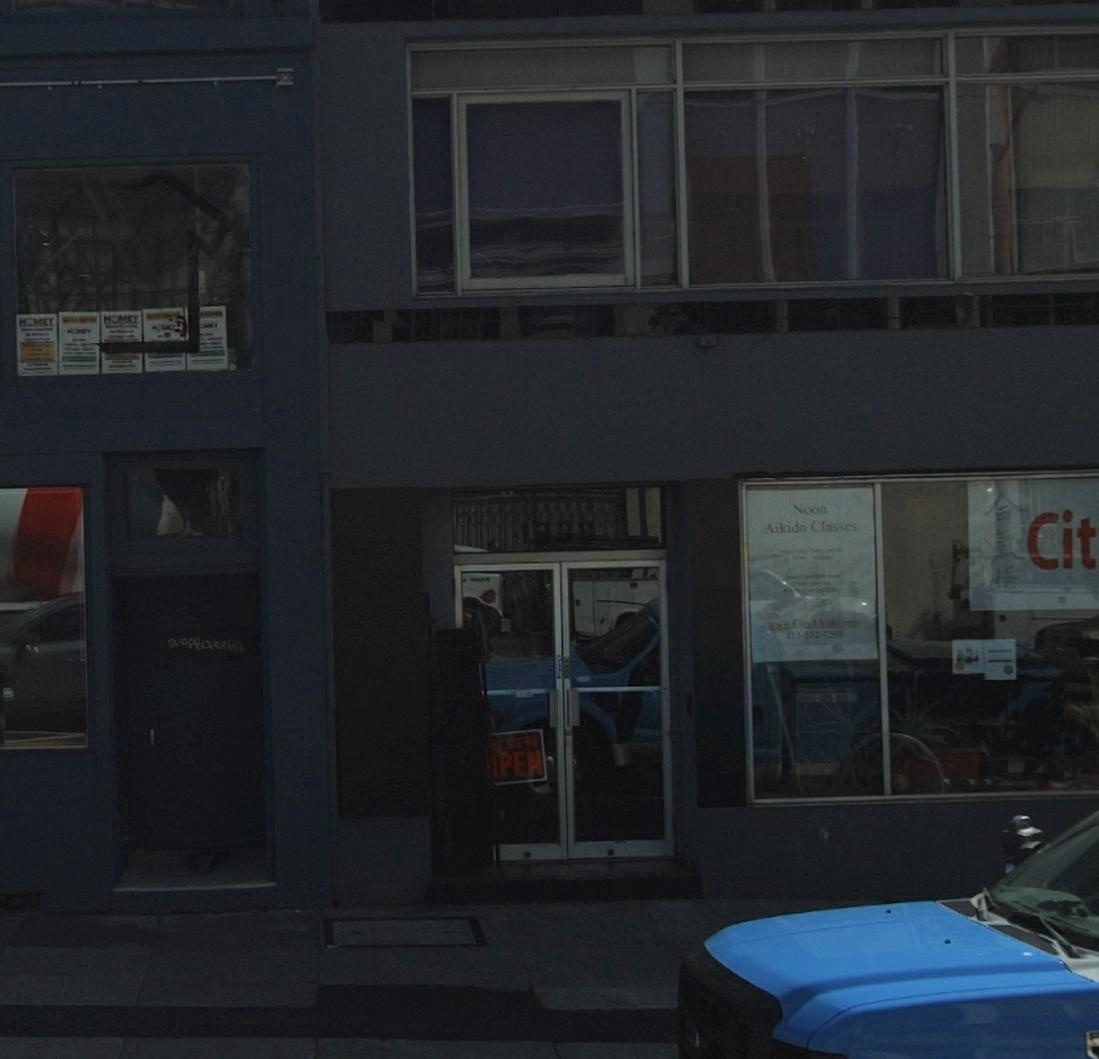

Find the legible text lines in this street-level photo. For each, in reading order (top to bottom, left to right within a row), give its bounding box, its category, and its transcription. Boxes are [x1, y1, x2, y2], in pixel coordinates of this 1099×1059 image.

[17, 316, 56, 328] None: H*MET
[101, 313, 141, 325] None: H*MET
[791, 501, 830, 518] None: Noon
[516, 518, 599, 549] StreetNumber: 1339
[761, 519, 860, 536] None: Aikido Classes
[1021, 504, 1099, 577] BusinessName: Cit
[497, 745, 548, 784] None: PEN